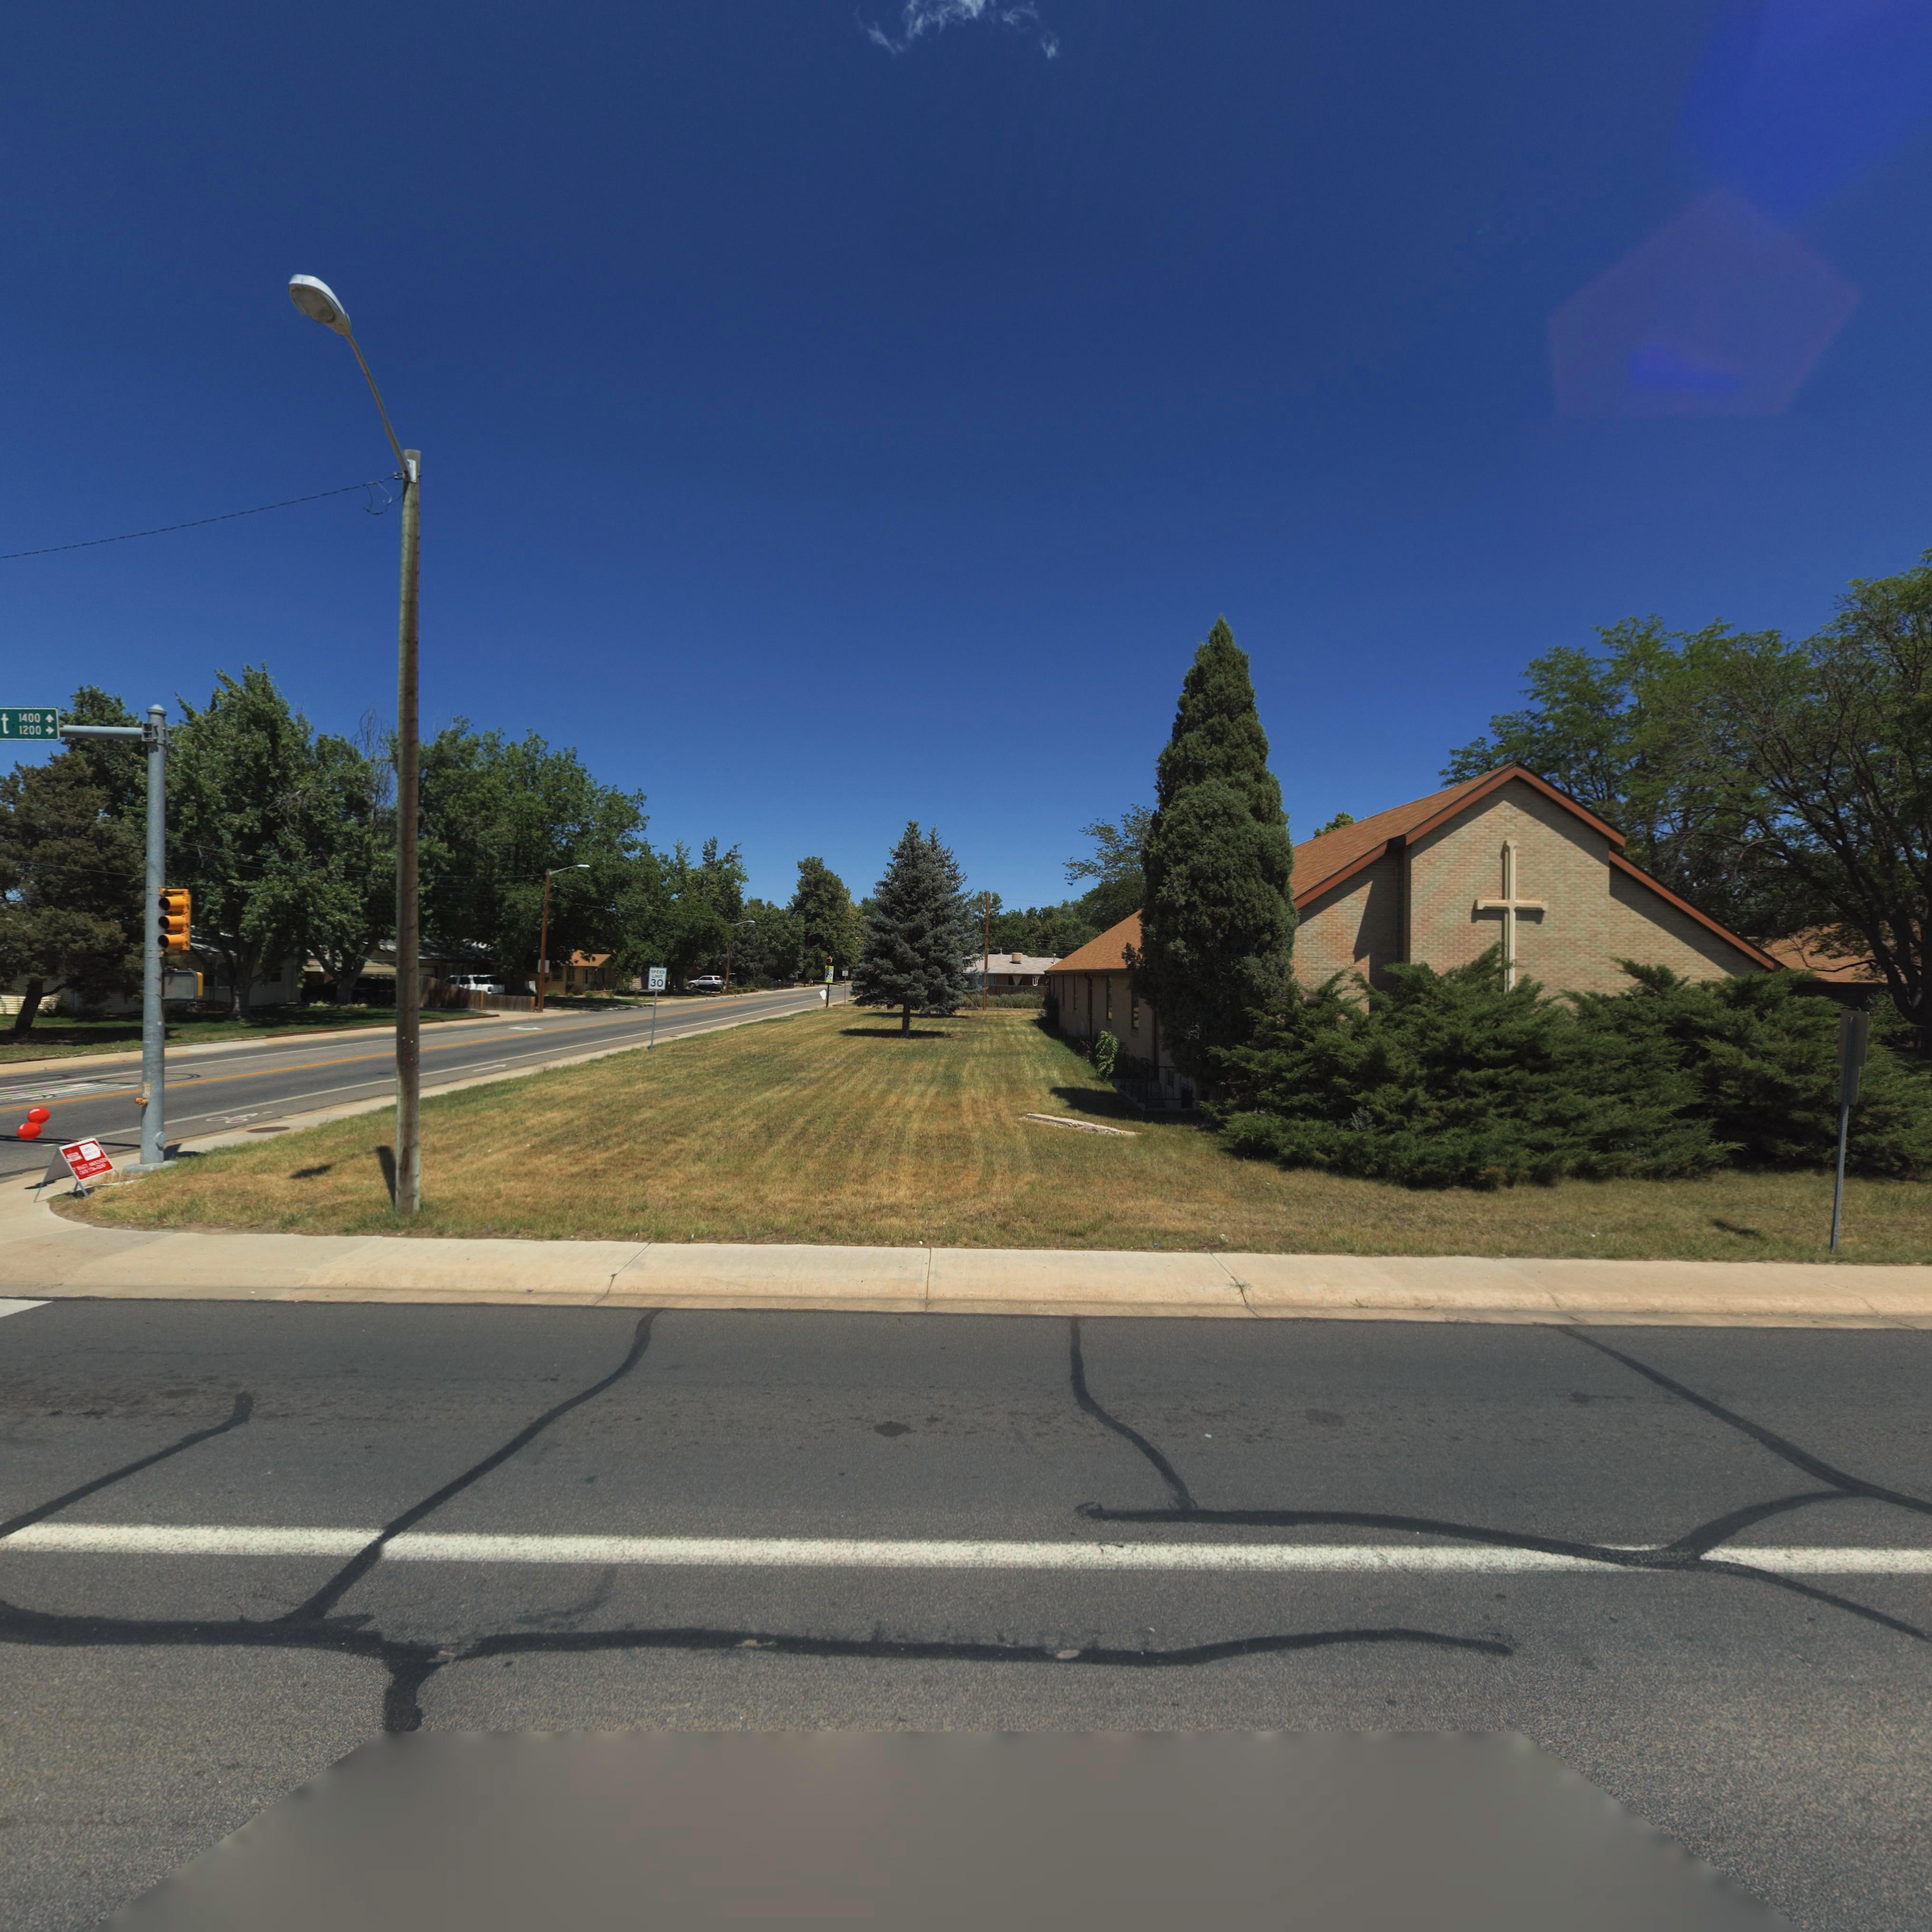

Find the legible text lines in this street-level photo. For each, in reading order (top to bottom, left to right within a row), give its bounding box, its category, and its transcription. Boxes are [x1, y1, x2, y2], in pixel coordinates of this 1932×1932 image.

[18, 712, 41, 723] StreetNumberRange: 1400
[0, 712, 10, 735] StreetName: t
[18, 724, 55, 735] StreetNumberRange: 1200 ->